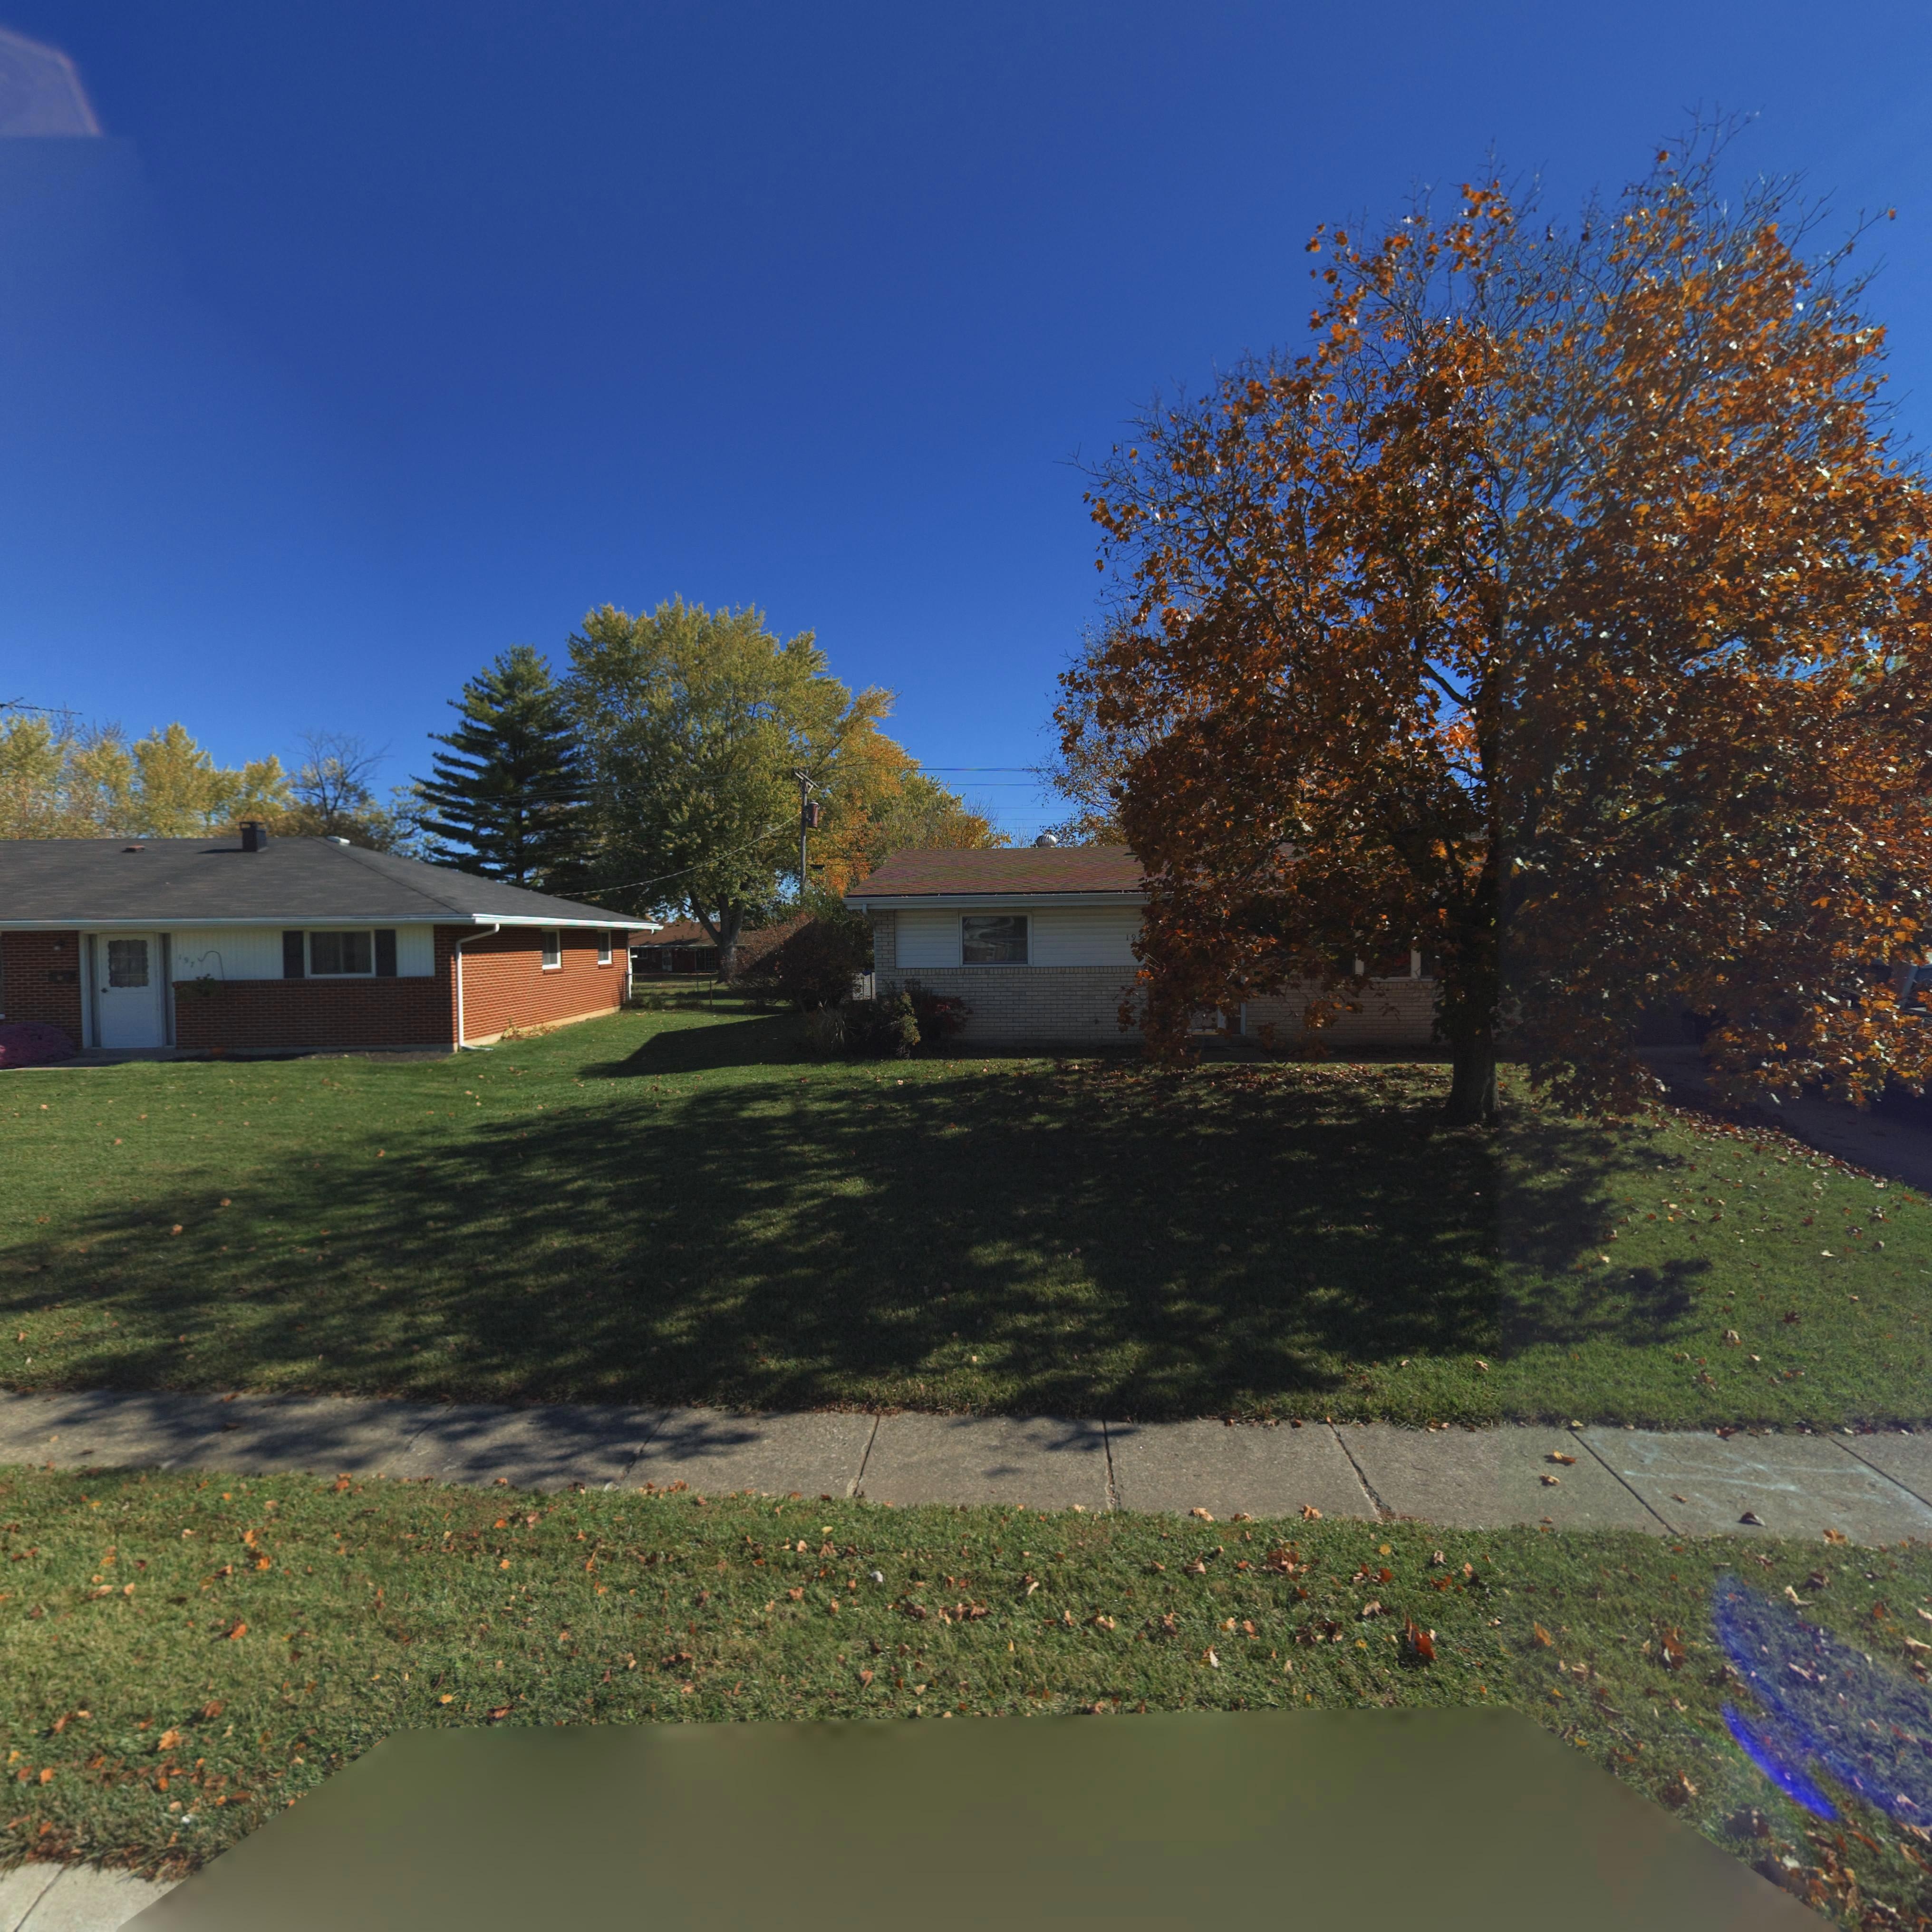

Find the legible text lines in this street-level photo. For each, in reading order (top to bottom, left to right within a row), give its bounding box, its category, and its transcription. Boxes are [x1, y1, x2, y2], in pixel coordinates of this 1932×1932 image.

[1126, 933, 1143, 942] StreetNumber: 195
[177, 952, 196, 970] StreetNumber: 197